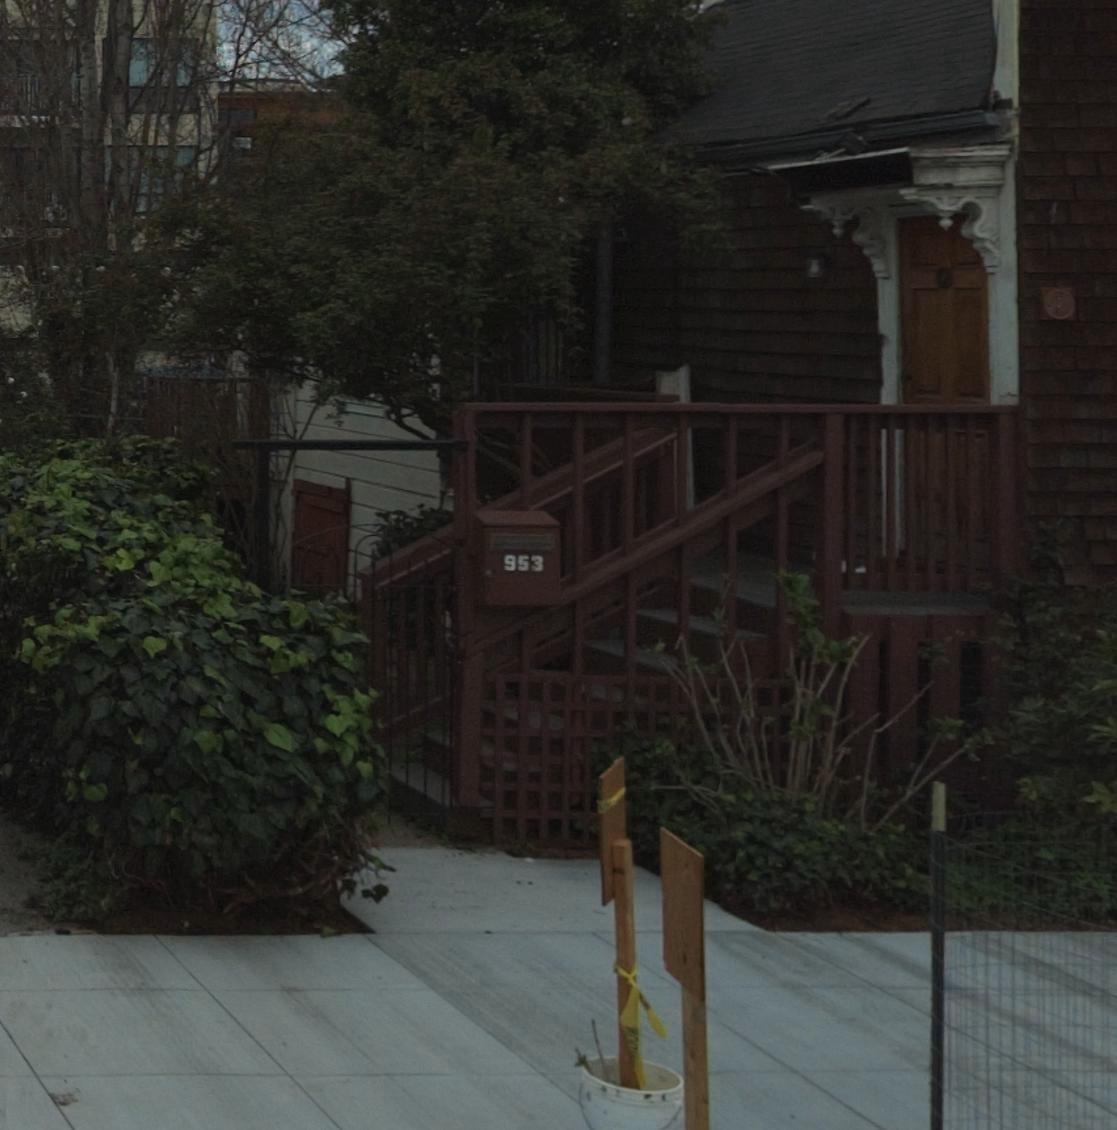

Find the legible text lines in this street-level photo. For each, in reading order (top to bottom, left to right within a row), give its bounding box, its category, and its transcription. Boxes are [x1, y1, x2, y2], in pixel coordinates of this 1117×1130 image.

[502, 553, 545, 573] StreetNumber: 953